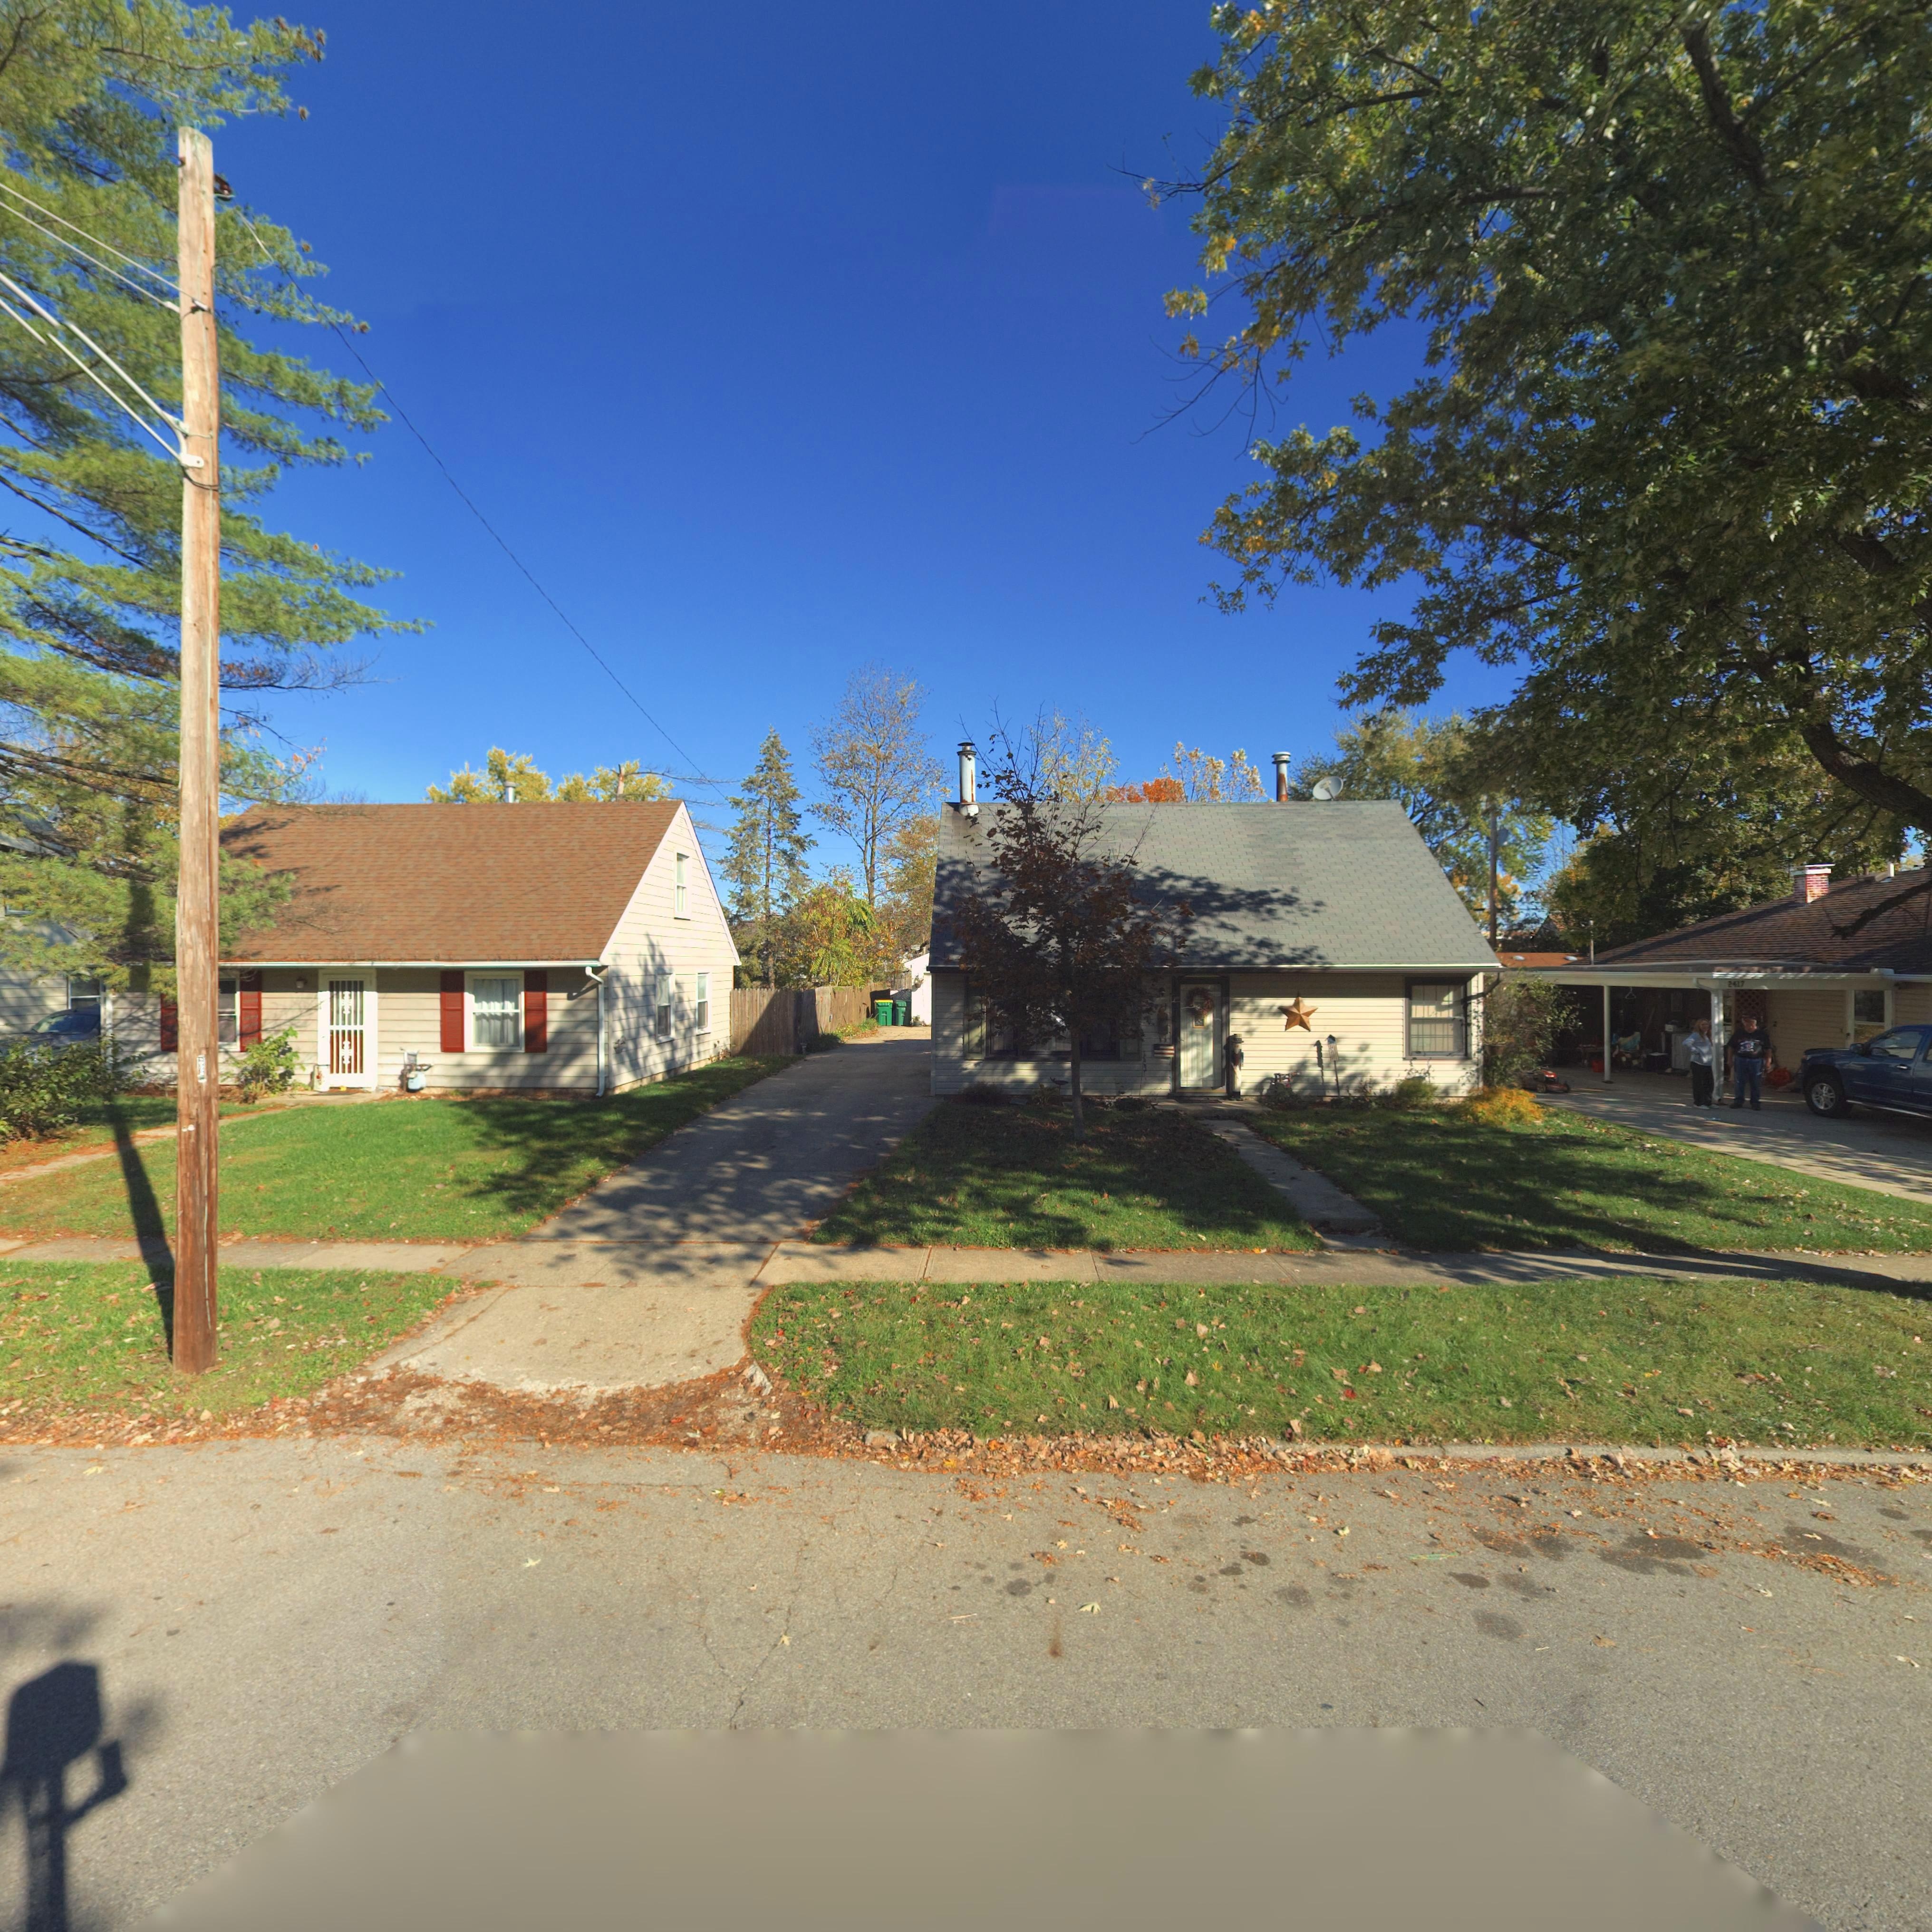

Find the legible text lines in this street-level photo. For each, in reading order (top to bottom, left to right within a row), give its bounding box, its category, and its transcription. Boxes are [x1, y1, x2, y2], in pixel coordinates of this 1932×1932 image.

[1727, 980, 1745, 988] StreetNumber: 2417